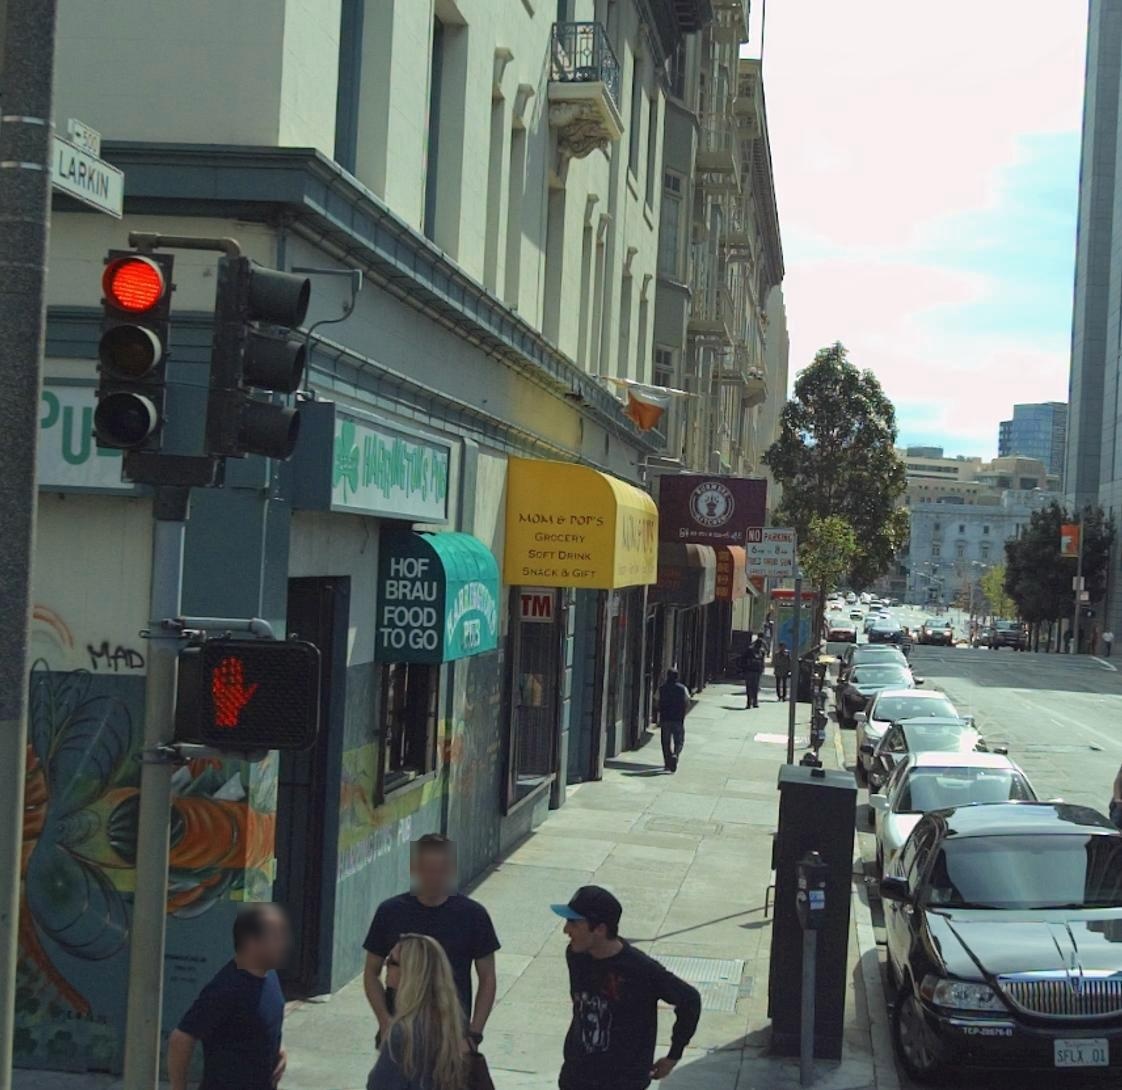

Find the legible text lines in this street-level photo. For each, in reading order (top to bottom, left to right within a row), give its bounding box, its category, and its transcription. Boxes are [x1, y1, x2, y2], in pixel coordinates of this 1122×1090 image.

[57, 402, 98, 469] None: U
[517, 511, 605, 527] BusinessName: MOM & POP'S
[533, 530, 589, 546] None: GROCERY
[747, 528, 794, 545] None: NO PARKING
[527, 547, 593, 562] None: SOFT DRINK
[388, 555, 430, 580] BusinessName: HOF
[519, 564, 600, 580] None: SNACK & GIFT
[383, 578, 438, 604] BusinessName: BRAU
[381, 603, 440, 629] None: FOOD
[519, 593, 552, 619] None: TM
[376, 627, 441, 652] None: TO GO
[81, 636, 148, 673] None: MAD
[959, 1025, 981, 1036] None: TCP
[1054, 1047, 1107, 1064] None: SFLX 01